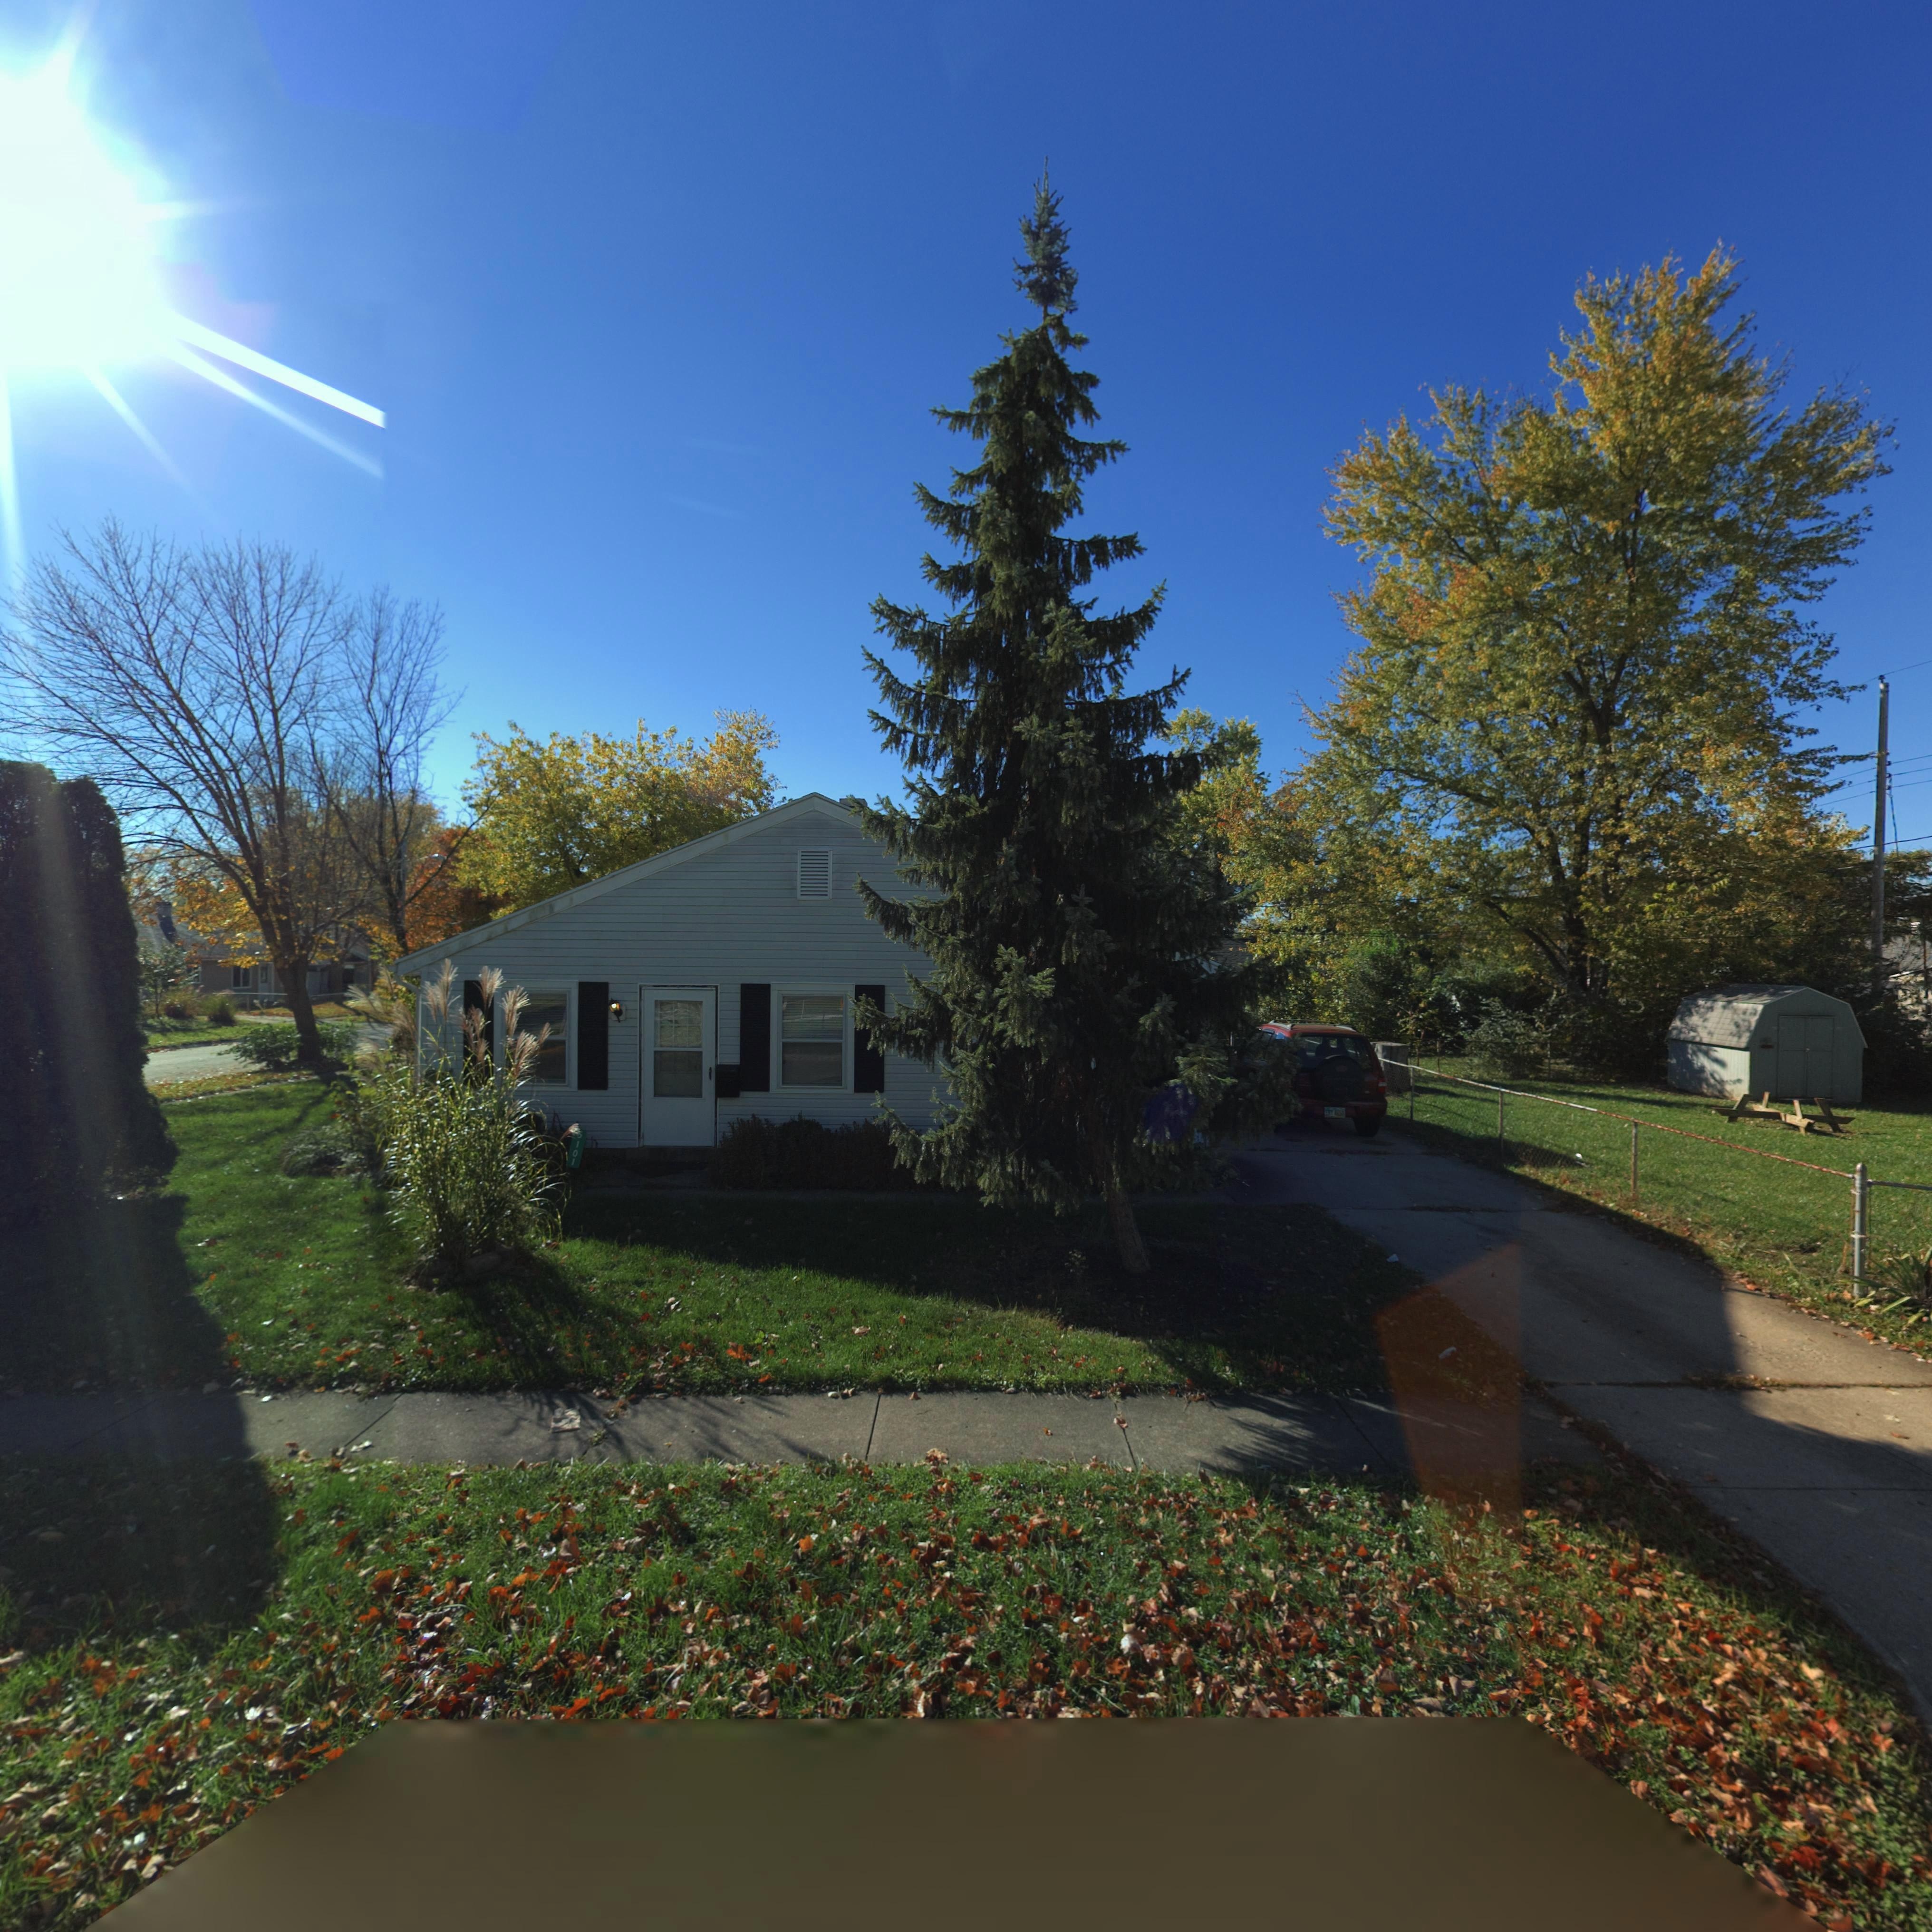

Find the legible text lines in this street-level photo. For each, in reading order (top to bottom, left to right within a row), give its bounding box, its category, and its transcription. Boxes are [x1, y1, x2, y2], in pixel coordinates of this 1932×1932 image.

[569, 1130, 584, 1167] StreetNumber: 5101